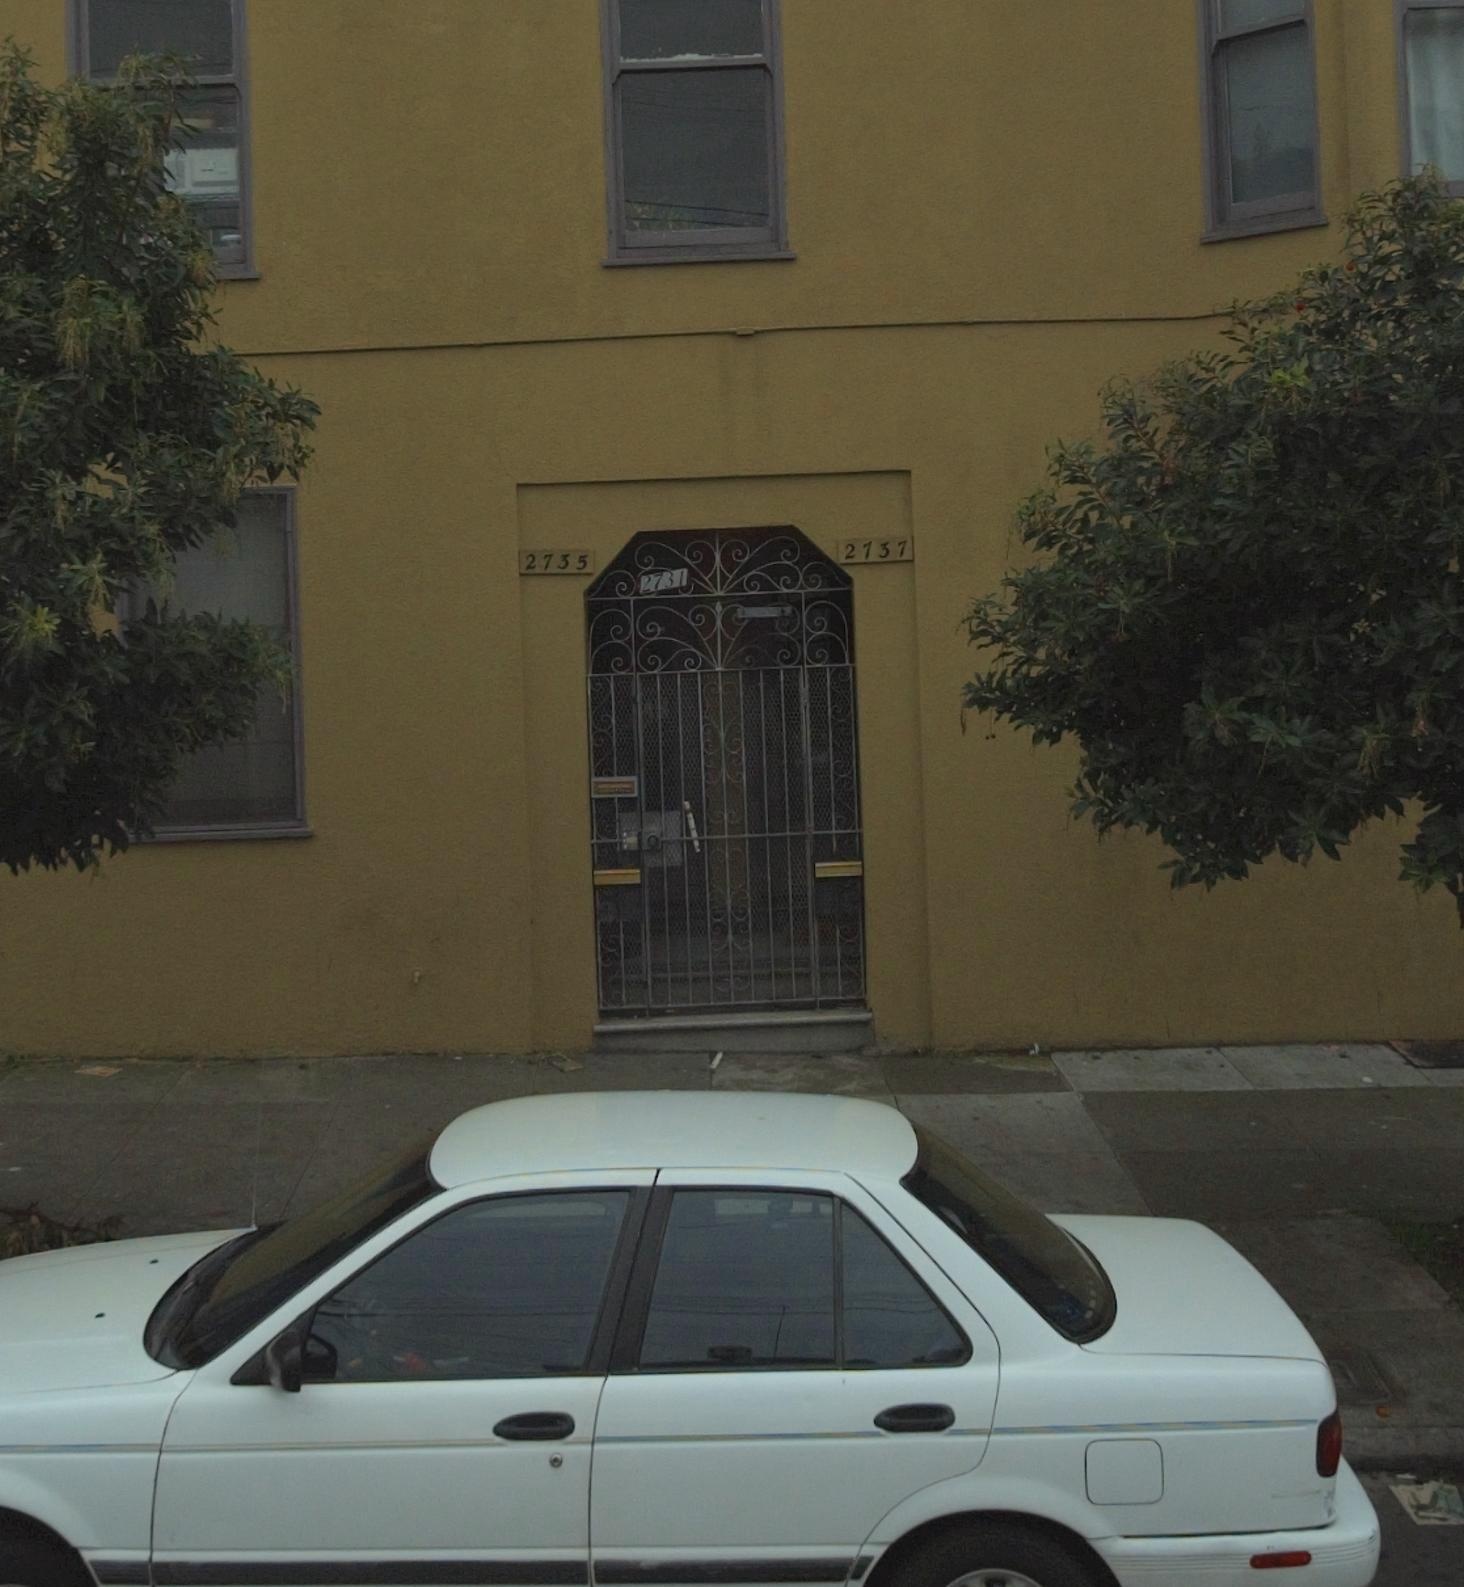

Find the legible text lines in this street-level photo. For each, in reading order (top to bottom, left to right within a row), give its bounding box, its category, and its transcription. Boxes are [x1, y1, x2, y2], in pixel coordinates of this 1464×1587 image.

[841, 539, 910, 561] StreetNumber: 2737
[524, 552, 588, 571] StreetNumber: 2735
[640, 568, 687, 595] StreetNumber: 2731